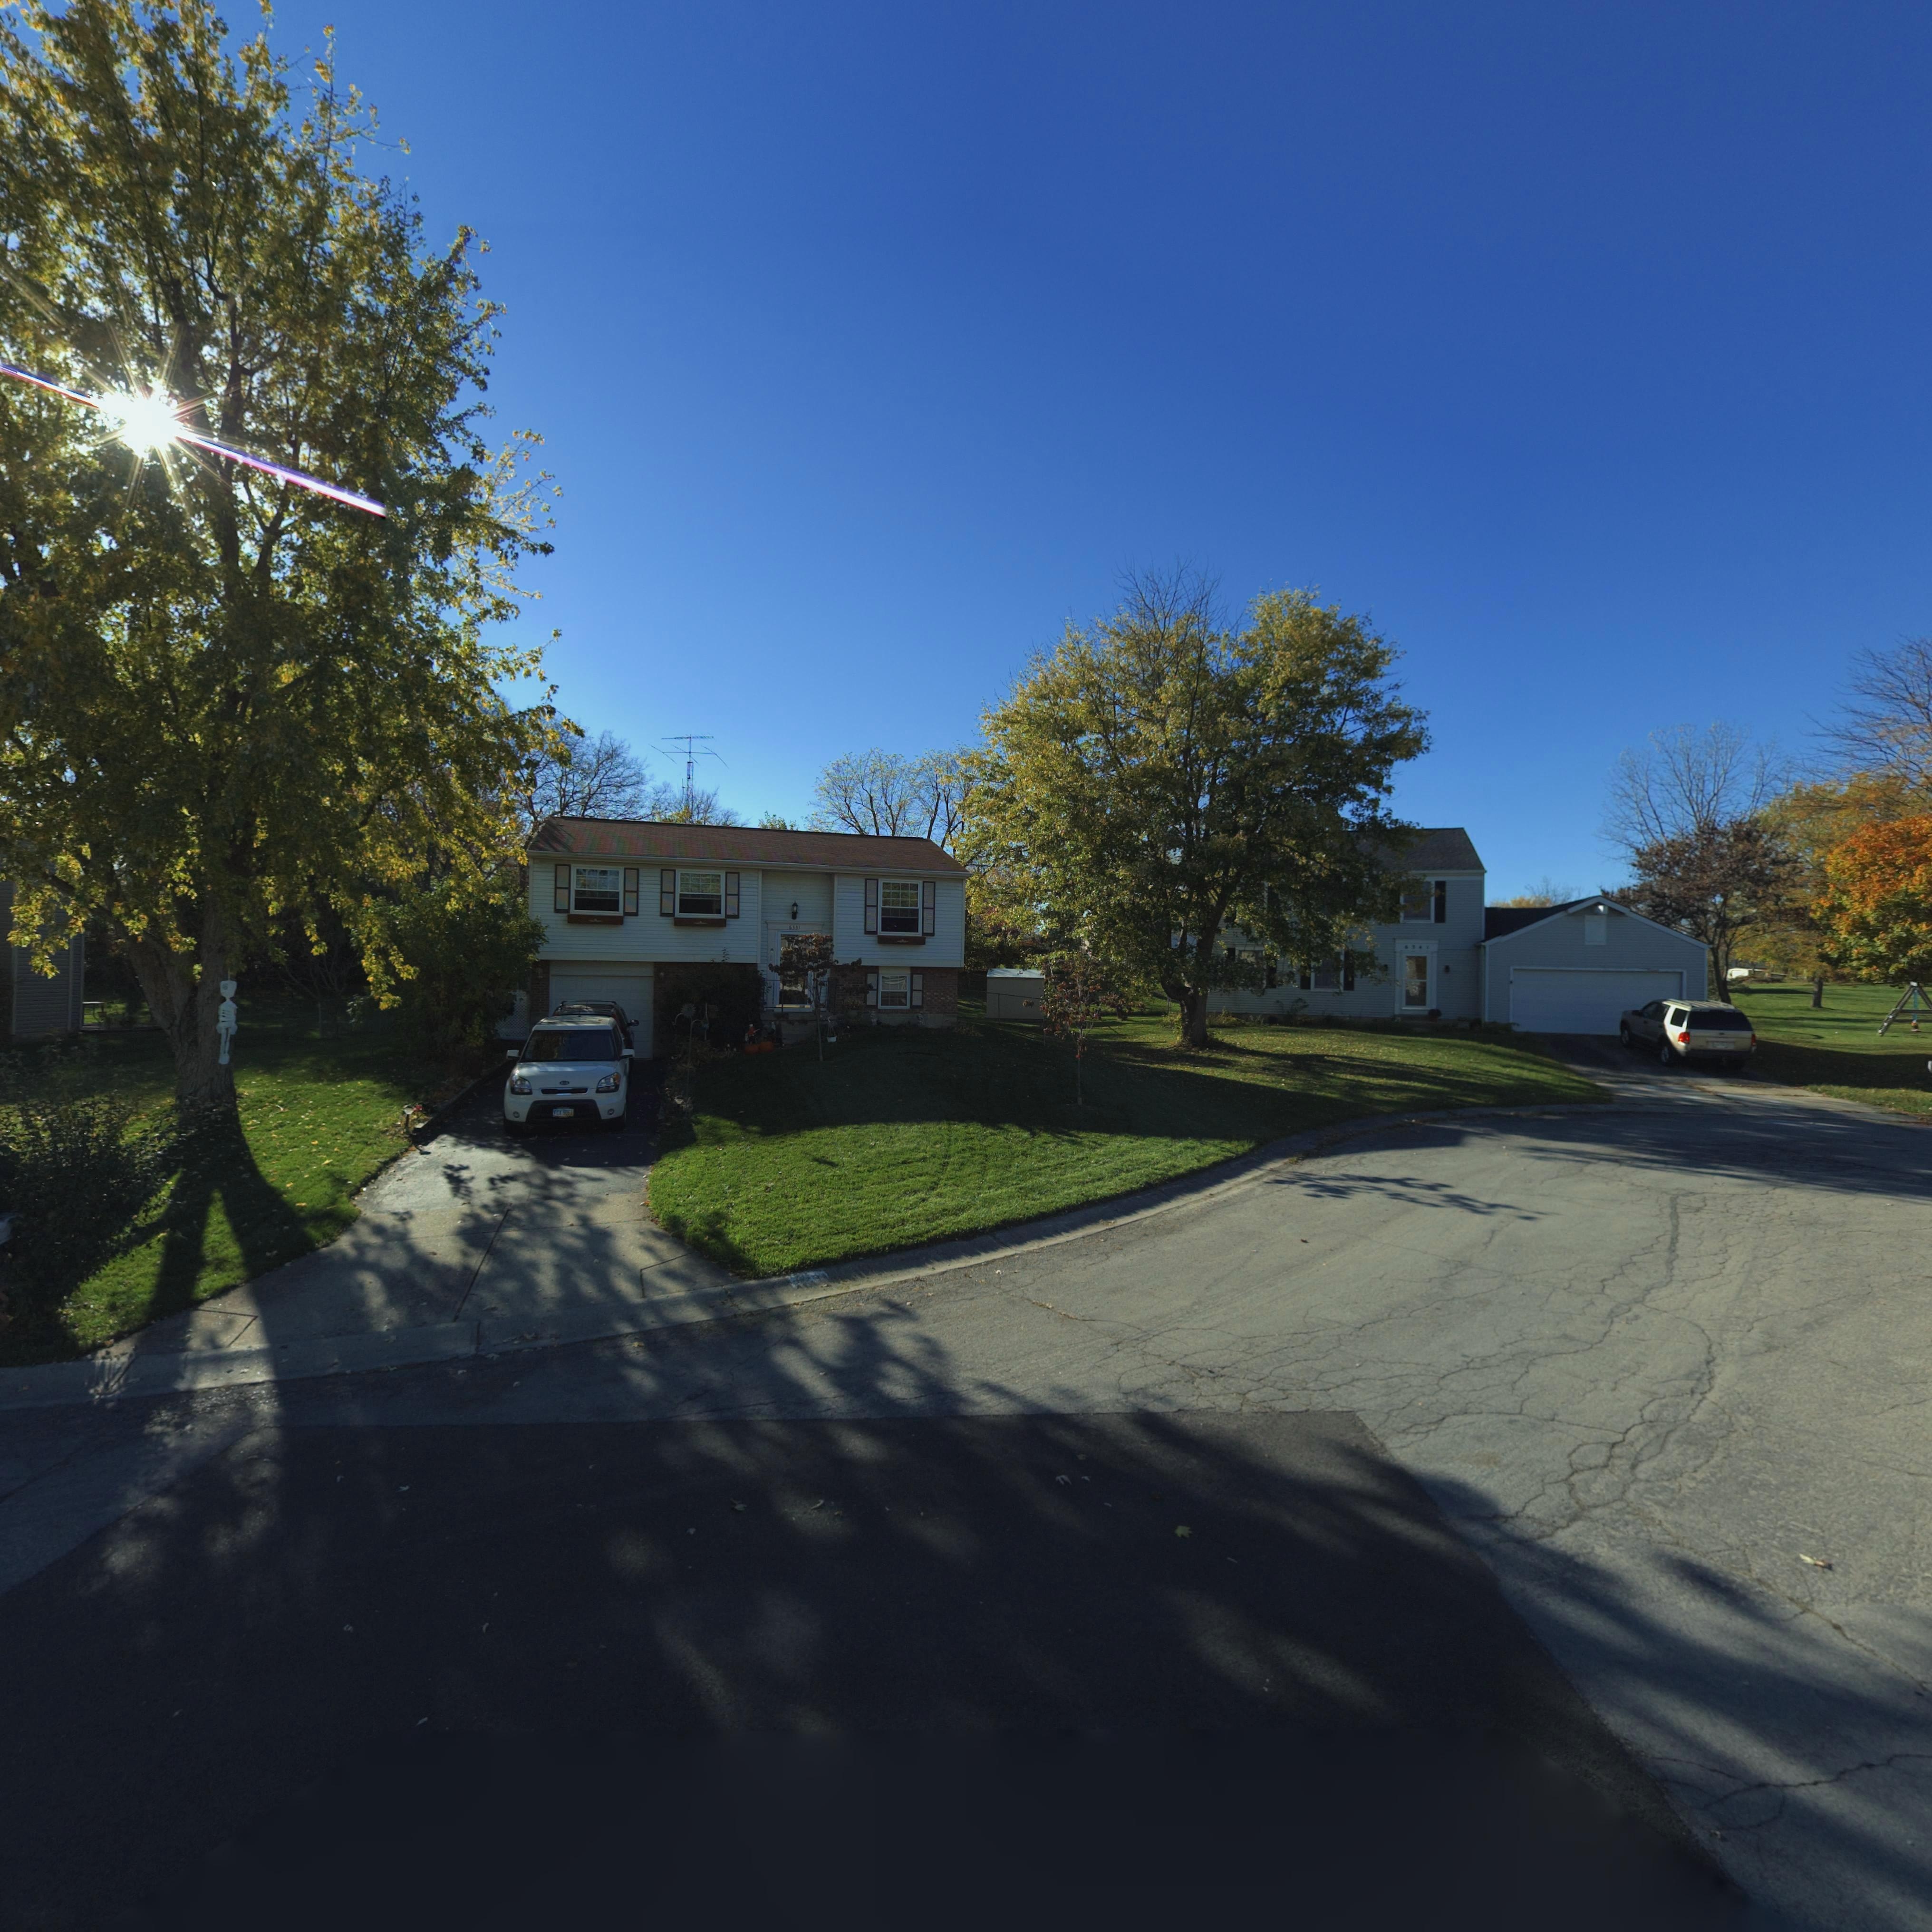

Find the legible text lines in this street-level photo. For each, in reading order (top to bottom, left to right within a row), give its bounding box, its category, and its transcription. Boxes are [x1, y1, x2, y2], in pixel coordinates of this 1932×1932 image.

[788, 925, 801, 931] StreetNumber: 6331